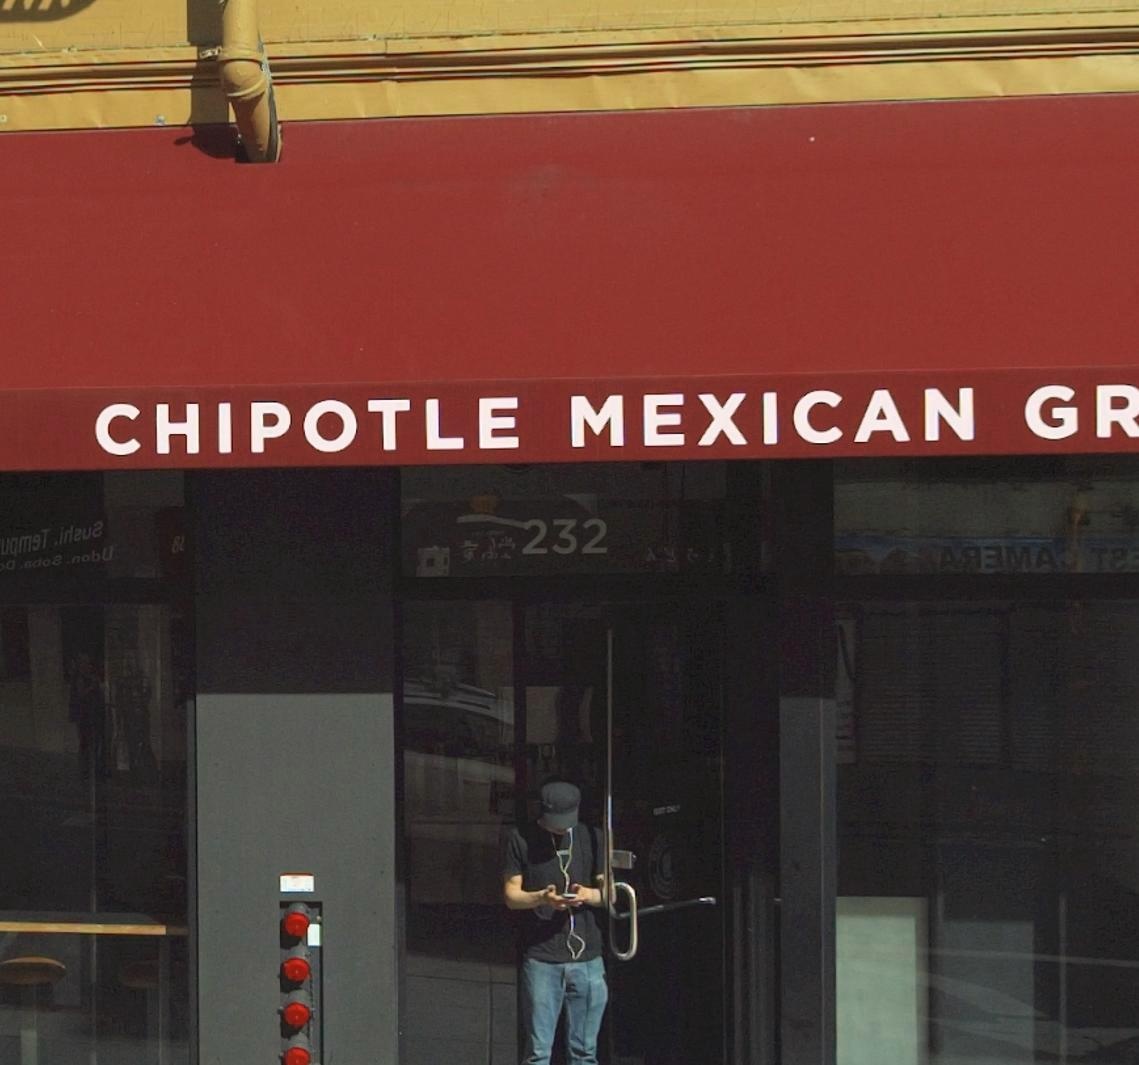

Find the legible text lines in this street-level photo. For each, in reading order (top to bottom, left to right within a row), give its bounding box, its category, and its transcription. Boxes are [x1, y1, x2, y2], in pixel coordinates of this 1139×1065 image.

[91, 378, 1083, 461] BusinessName: CHIPOTLE MEXICAN G
[6, 514, 110, 561] None: u*m*T .i***u*
[0, 542, 118, 578] None: * .**** .****
[166, 529, 184, 559] None: 8
[519, 515, 614, 558] StreetNumber: 232